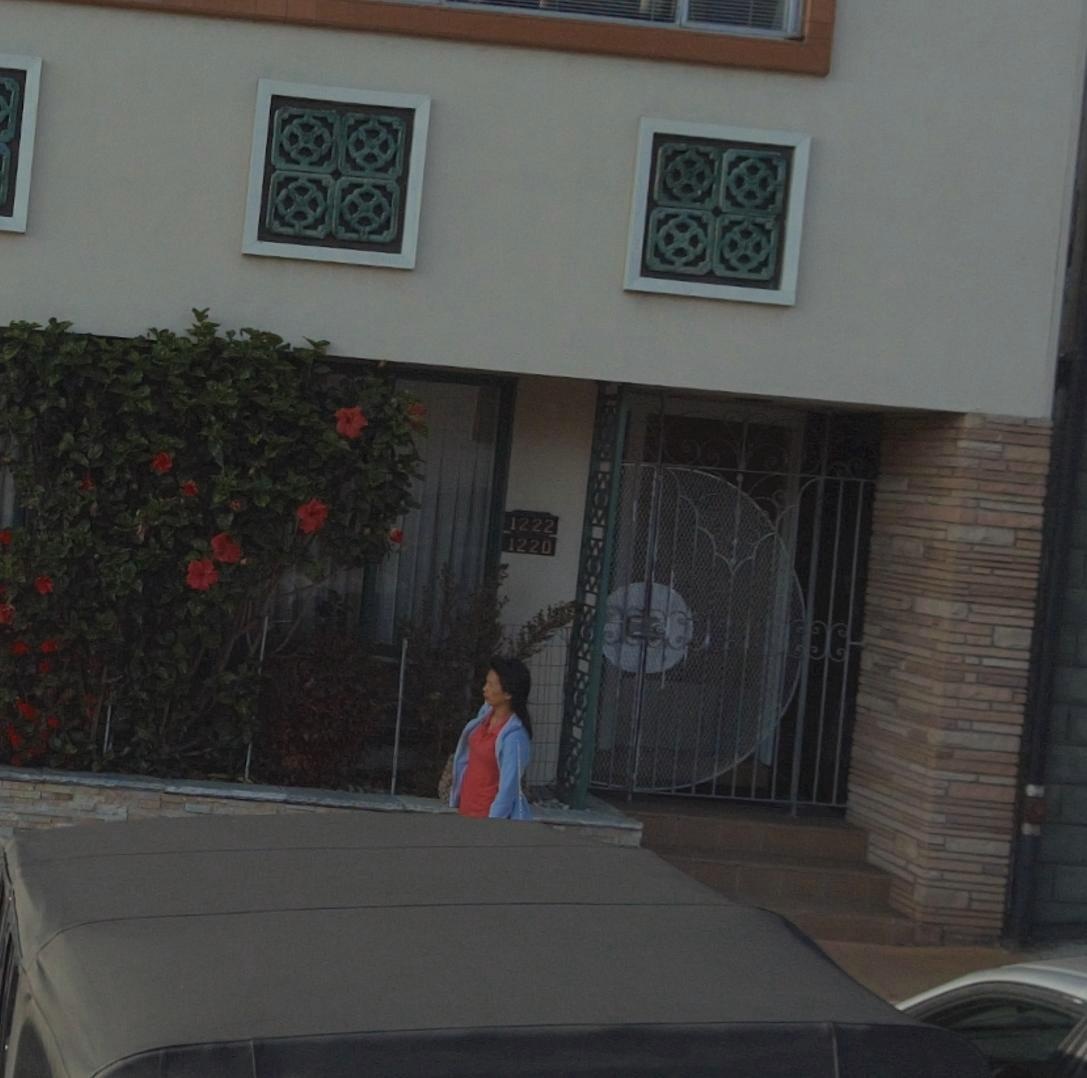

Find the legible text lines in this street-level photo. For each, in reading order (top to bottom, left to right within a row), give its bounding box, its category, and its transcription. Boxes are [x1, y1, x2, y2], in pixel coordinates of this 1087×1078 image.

[510, 515, 556, 535] StreetNumber: 1222
[508, 535, 553, 556] StreetNumber: 1220